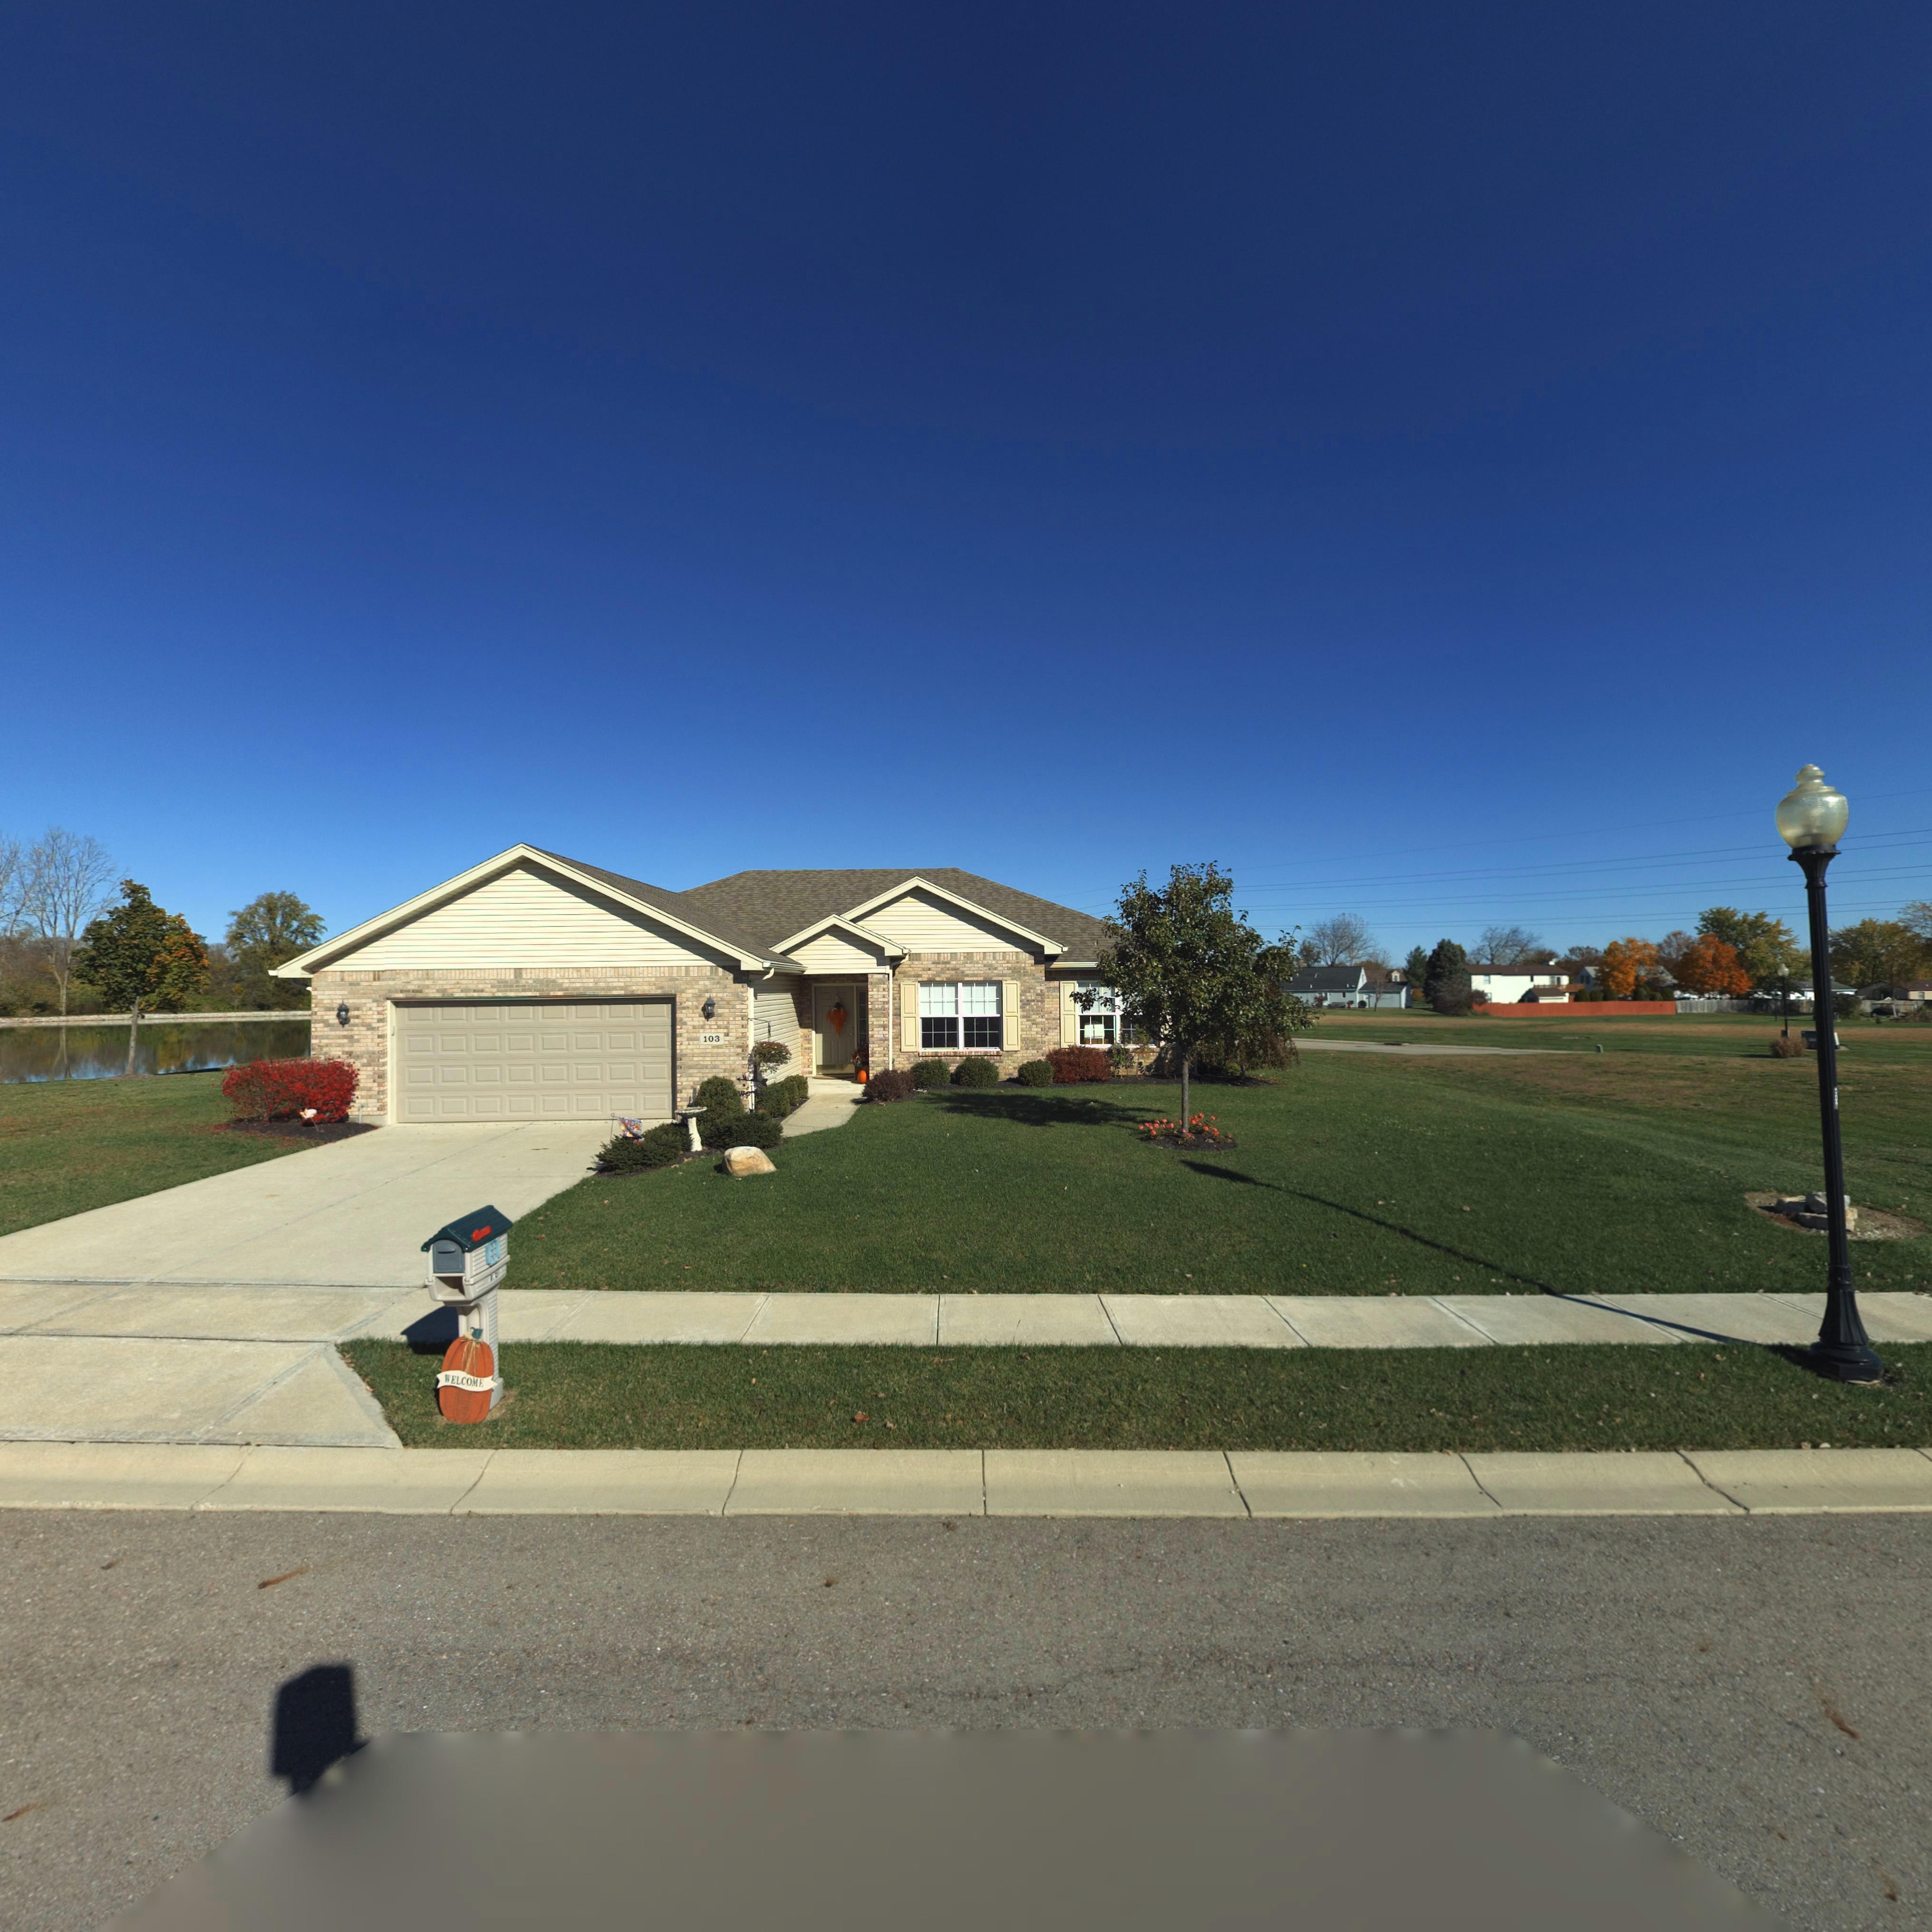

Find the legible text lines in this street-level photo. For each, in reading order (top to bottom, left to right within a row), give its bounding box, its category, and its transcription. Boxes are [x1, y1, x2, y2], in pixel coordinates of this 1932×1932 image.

[703, 1034, 721, 1043] StreetNumber: 103